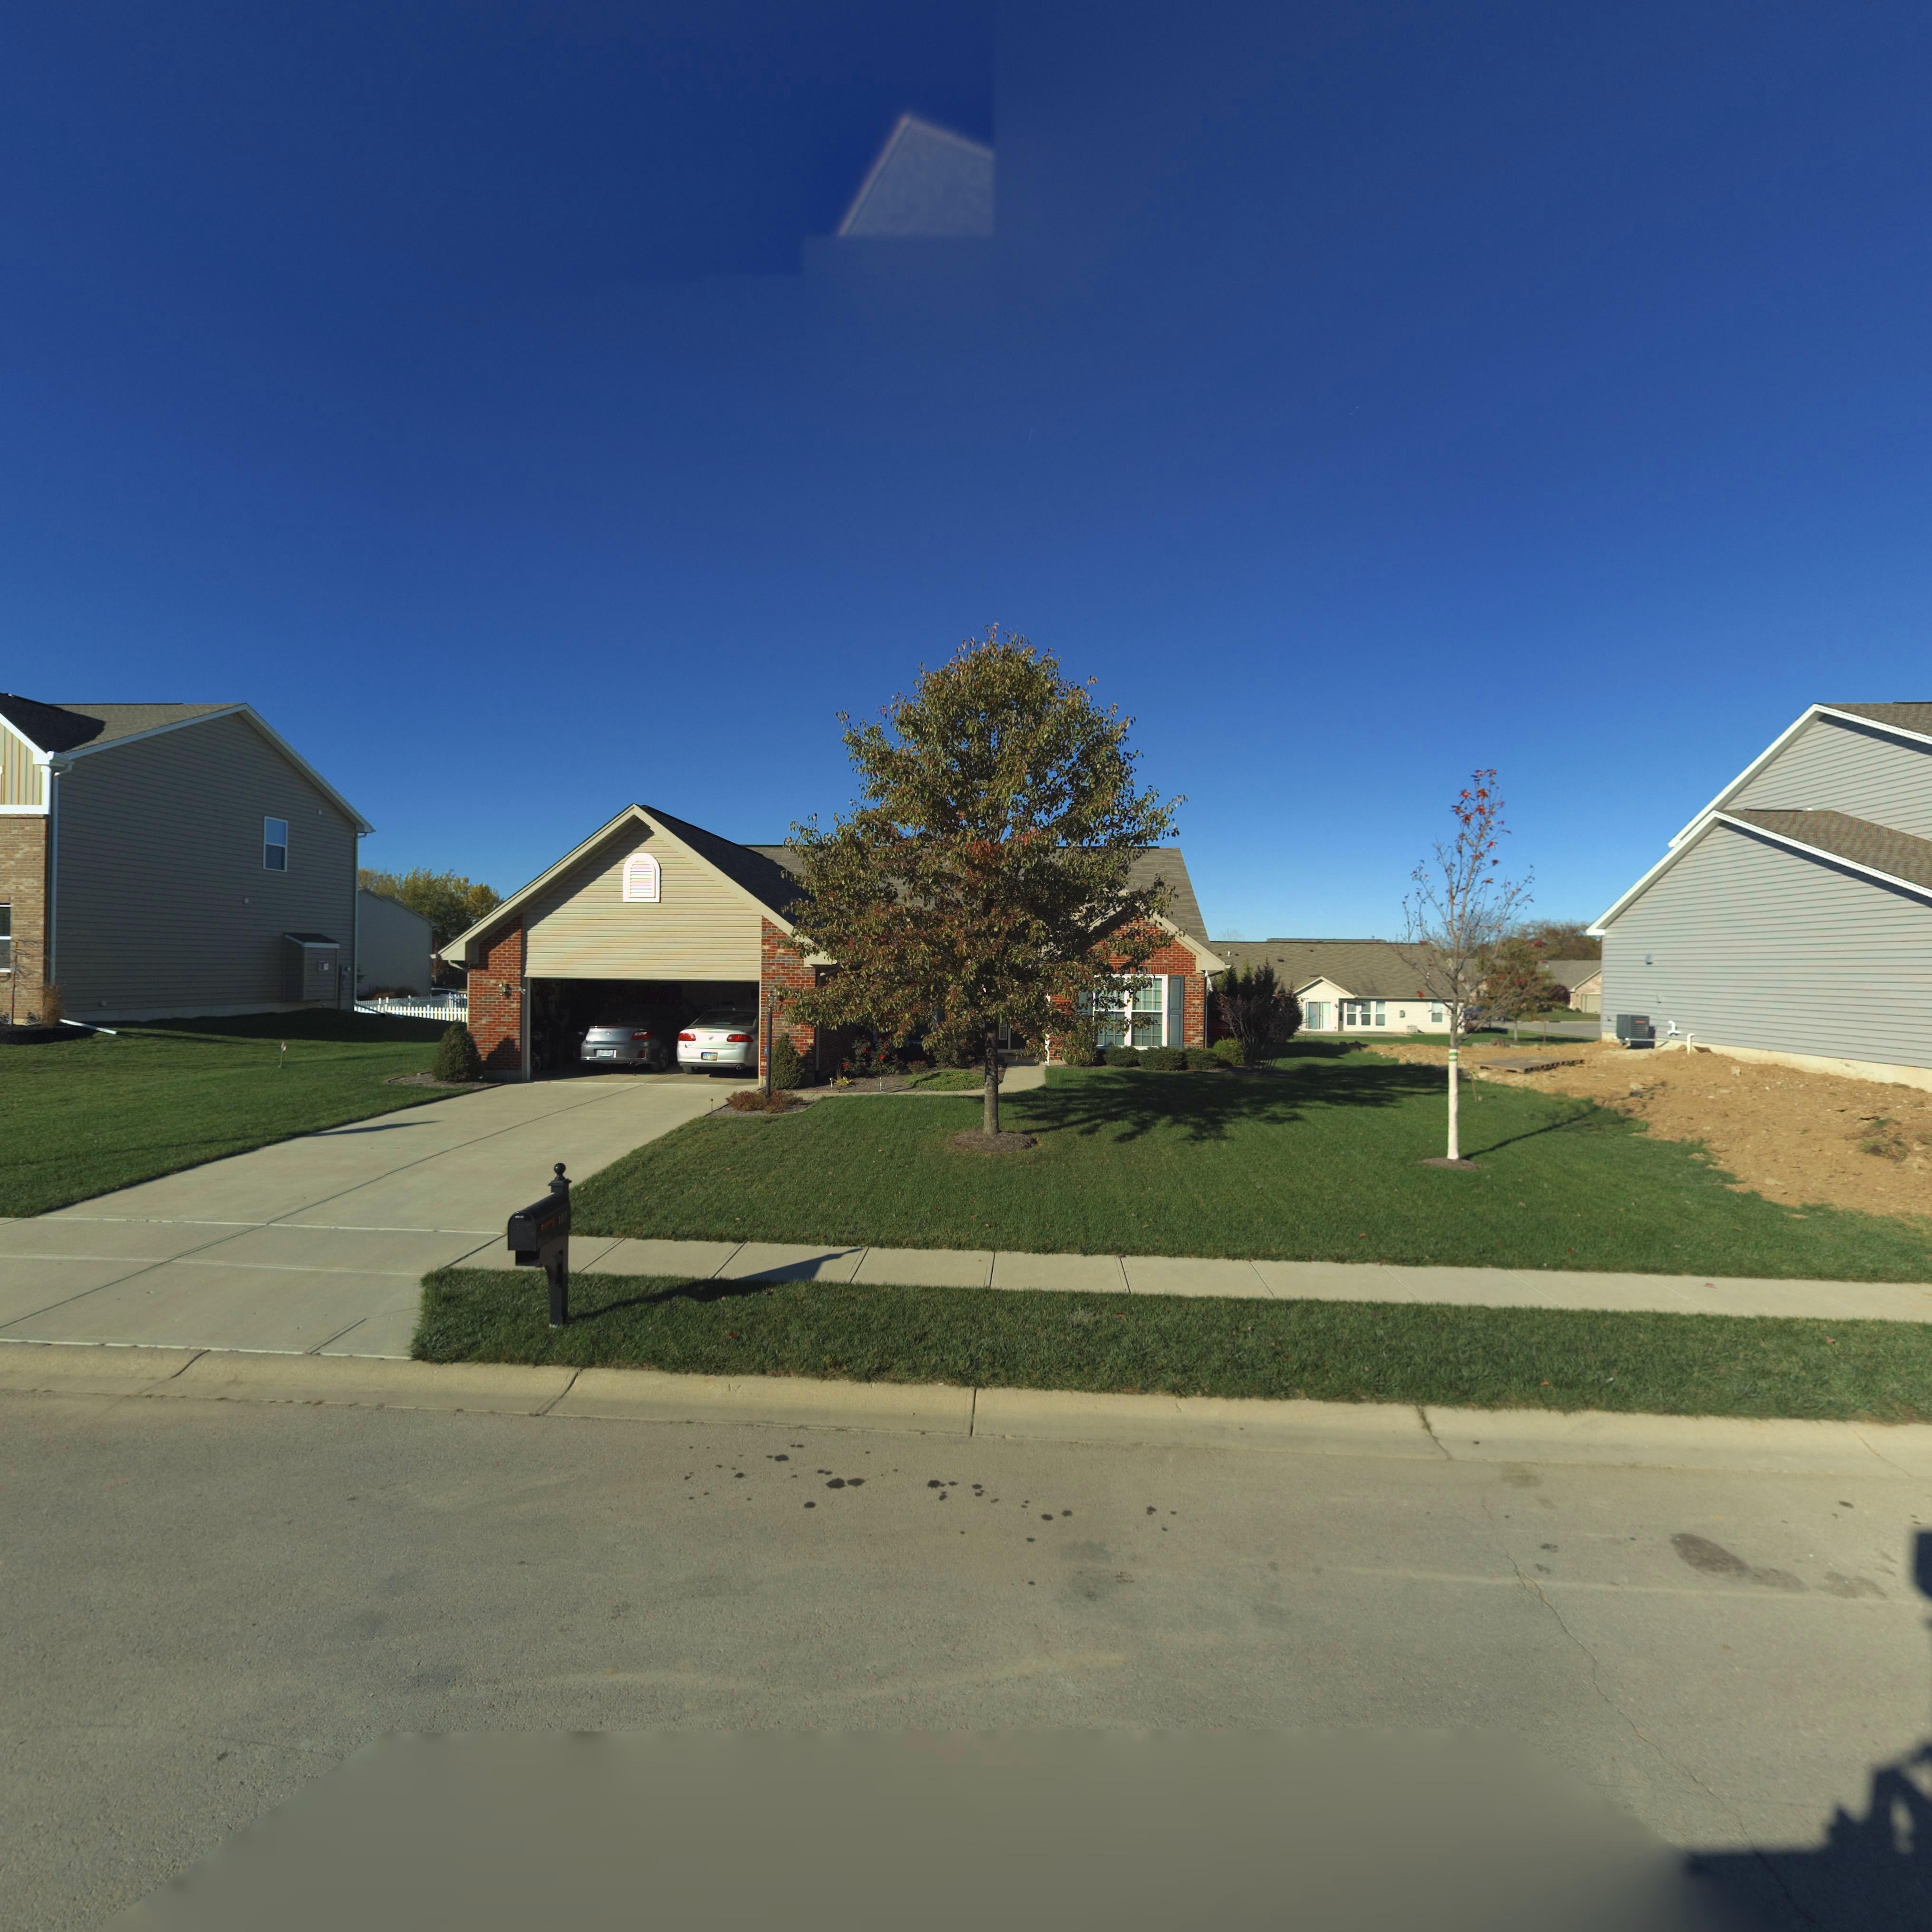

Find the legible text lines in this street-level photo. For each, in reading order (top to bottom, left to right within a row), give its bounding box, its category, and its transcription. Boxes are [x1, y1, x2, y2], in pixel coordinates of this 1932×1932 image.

[557, 1209, 568, 1226] StreetNumber: 103